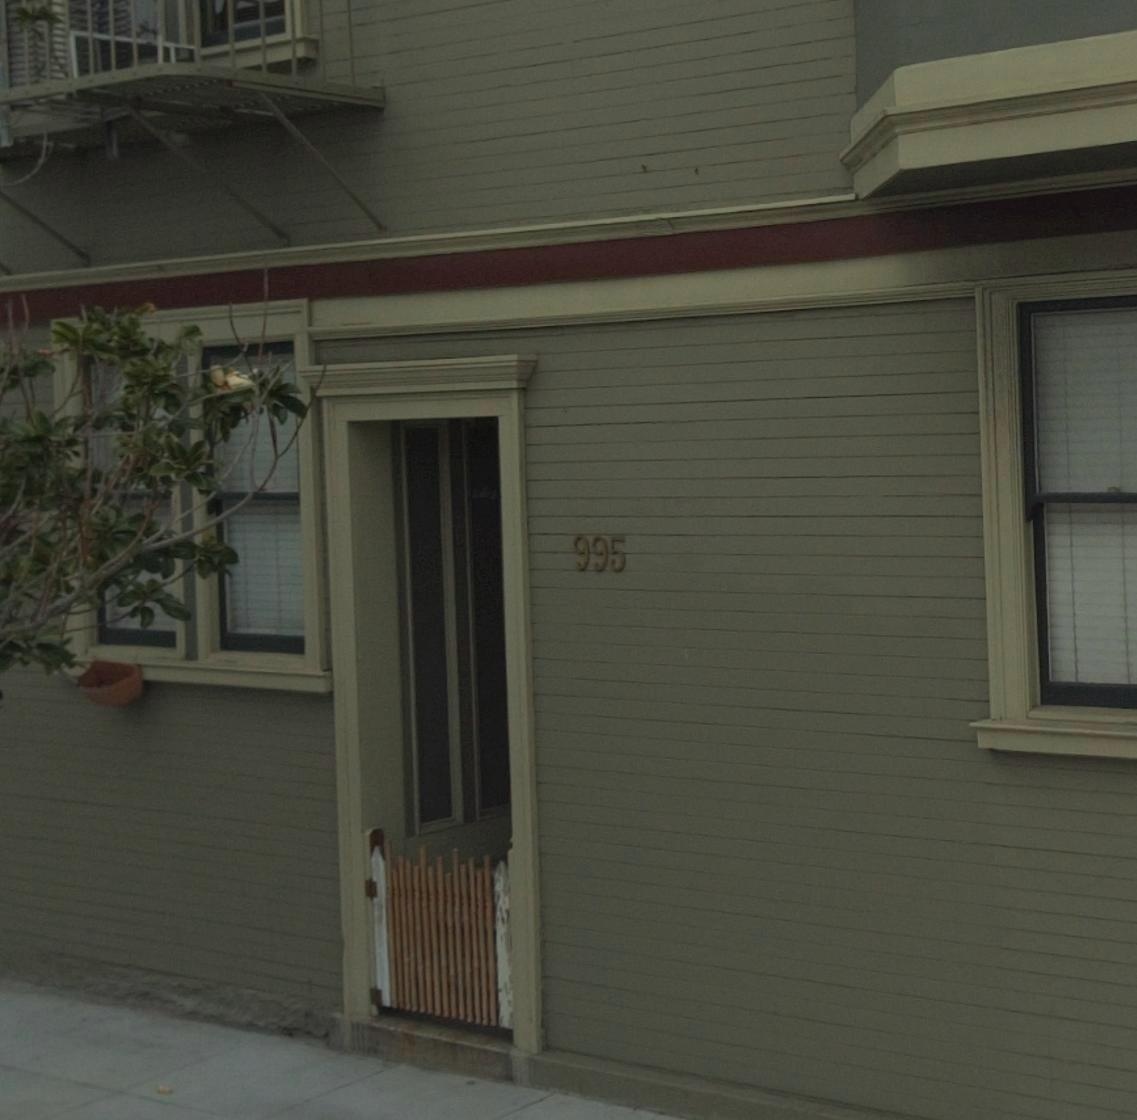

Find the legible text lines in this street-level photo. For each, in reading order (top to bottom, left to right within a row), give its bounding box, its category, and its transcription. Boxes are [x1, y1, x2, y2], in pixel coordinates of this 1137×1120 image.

[573, 533, 628, 575] StreetNumber: 995